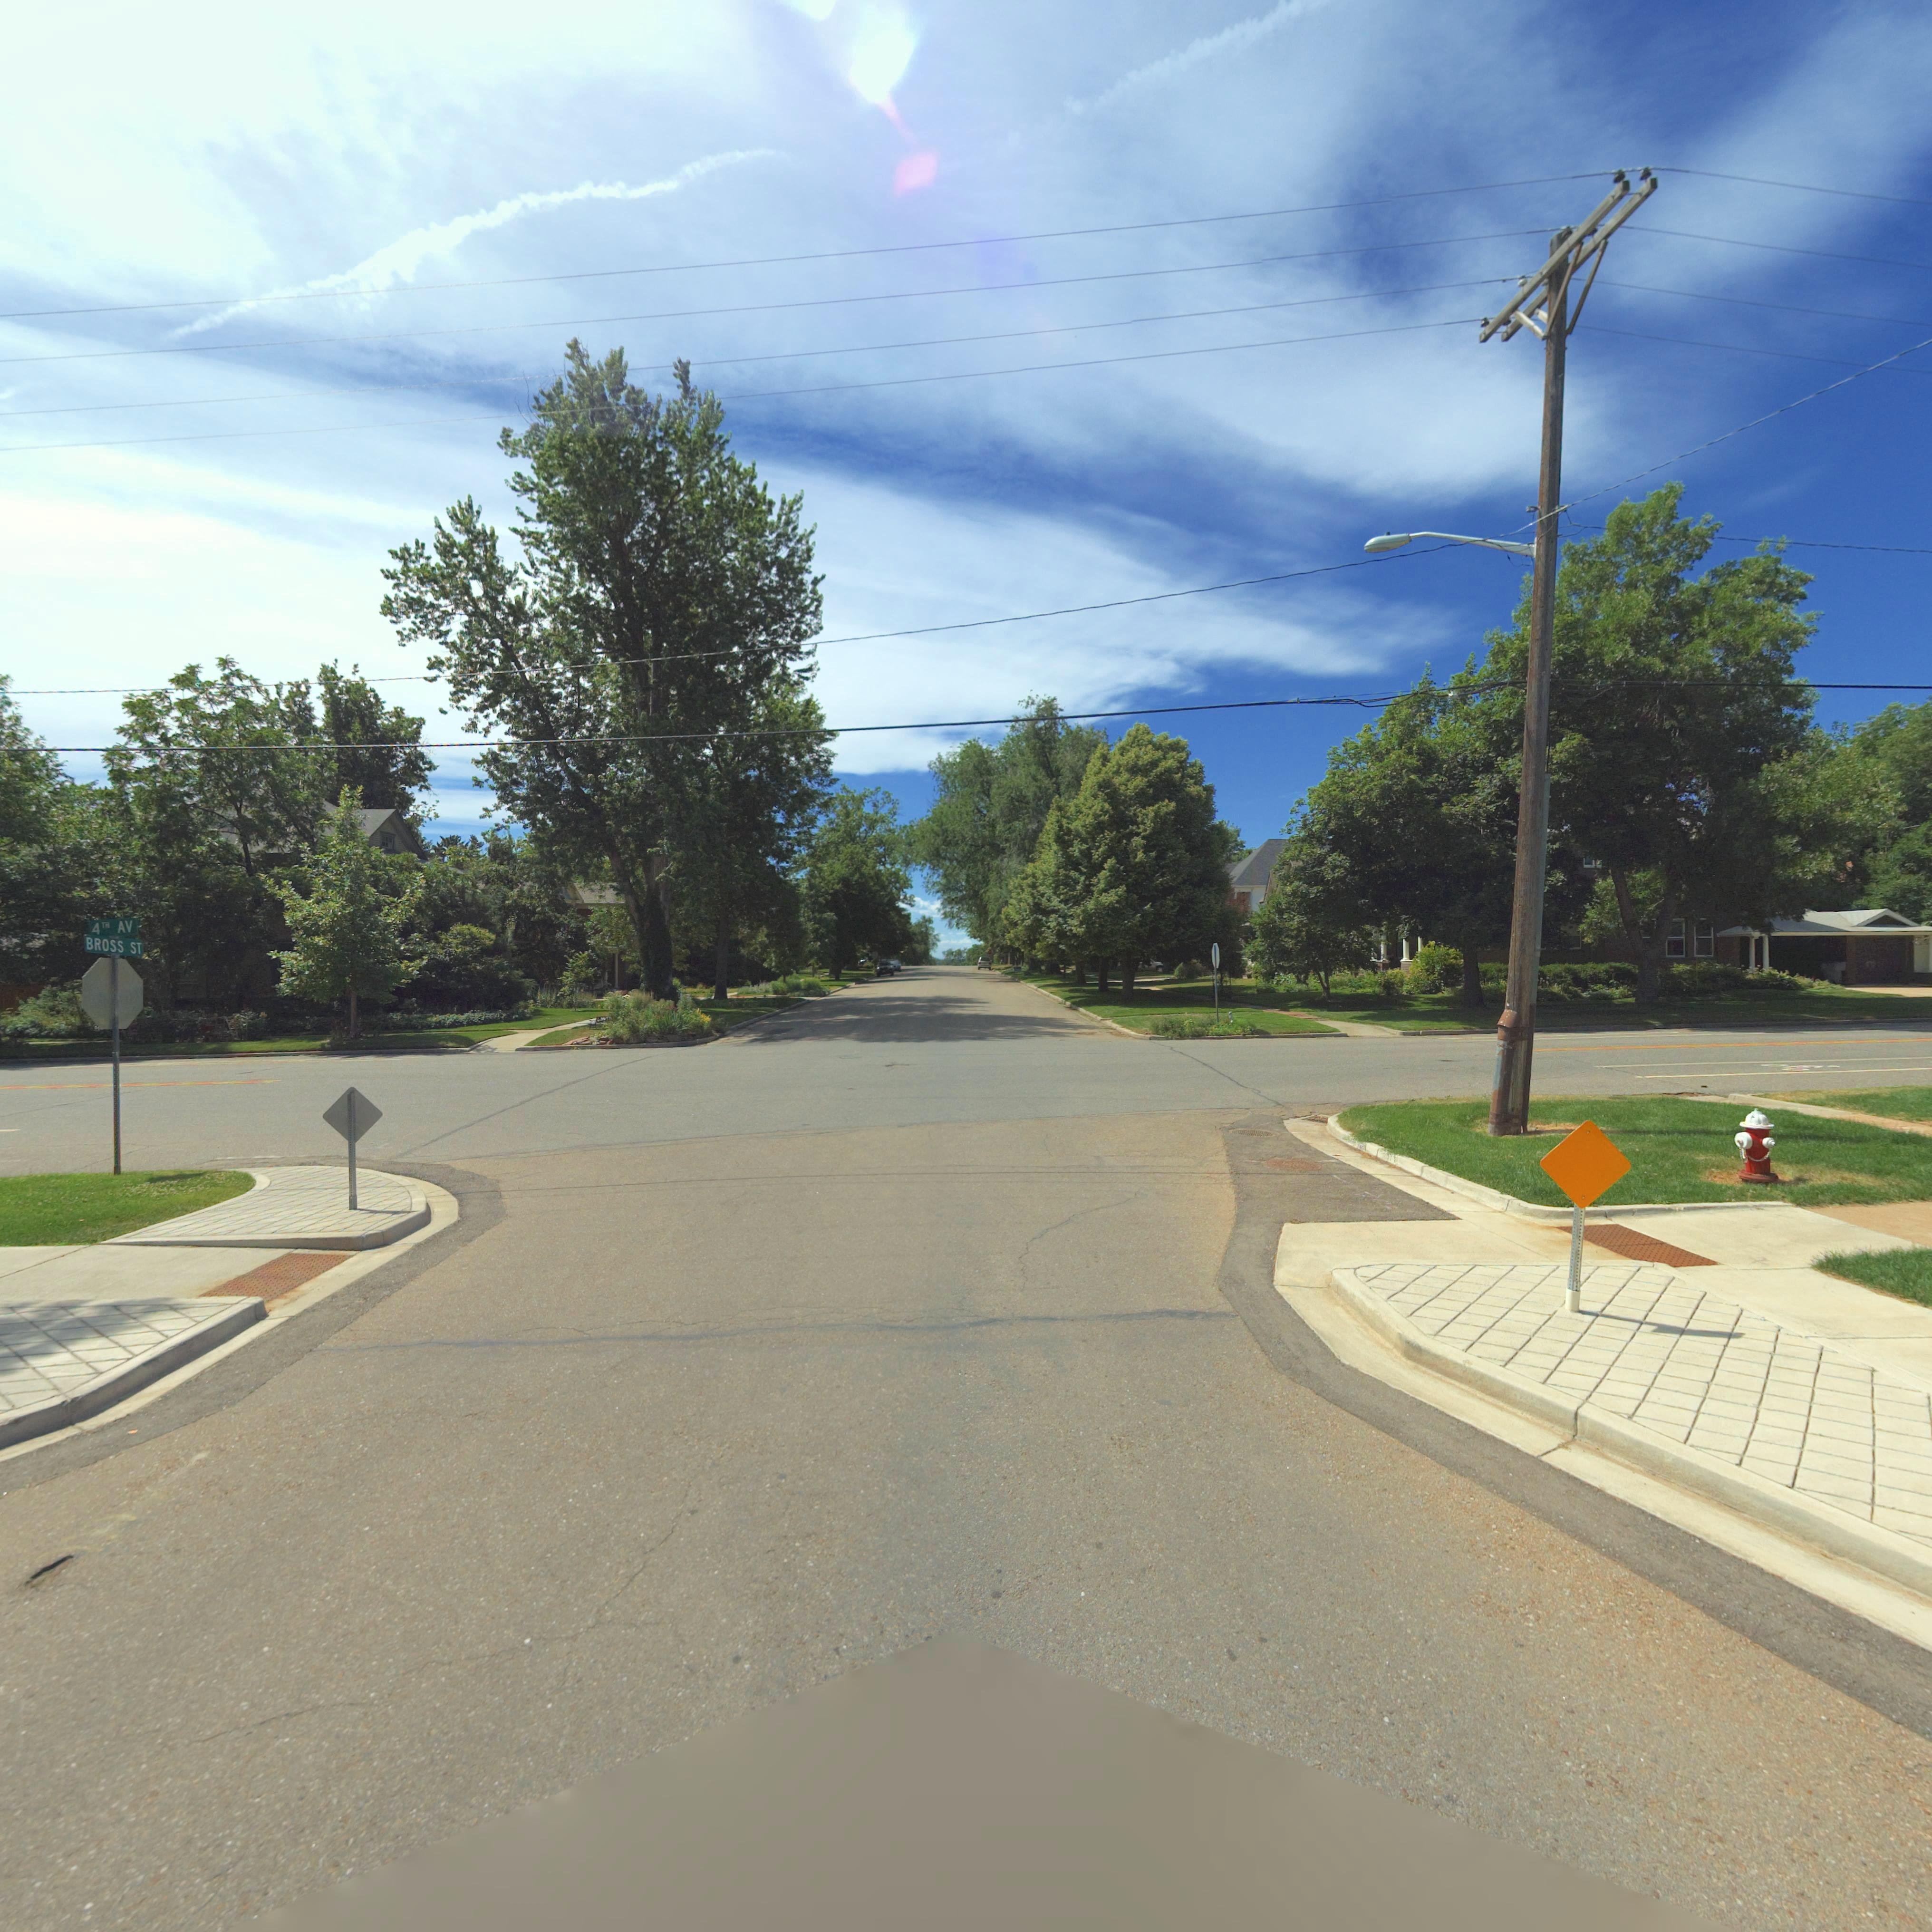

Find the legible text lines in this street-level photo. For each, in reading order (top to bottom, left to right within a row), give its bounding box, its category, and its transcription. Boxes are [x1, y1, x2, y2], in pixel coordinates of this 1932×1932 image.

[91, 919, 134, 936] StreetName: 4TH AV
[85, 936, 143, 954] StreetName: BROSS ST